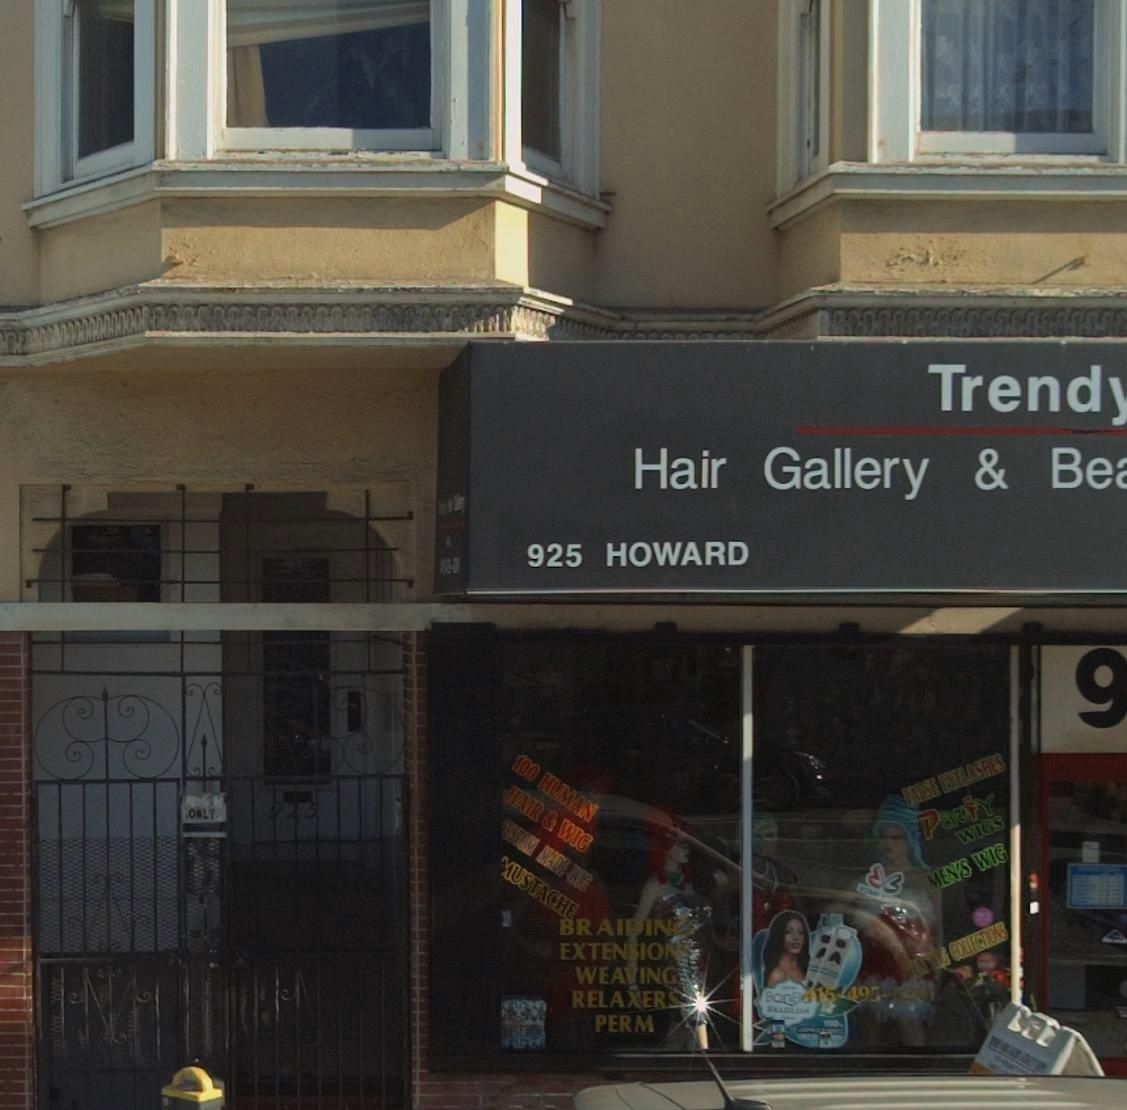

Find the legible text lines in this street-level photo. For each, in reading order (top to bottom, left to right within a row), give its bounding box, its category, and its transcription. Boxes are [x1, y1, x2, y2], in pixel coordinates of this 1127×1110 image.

[924, 361, 1103, 415] BusinessName: Trend
[631, 445, 1115, 502] BusinessName: Hair Gallery & Be
[524, 542, 584, 569] StreetNumber: 925
[603, 540, 752, 570] StreetName: HOWARD
[188, 807, 217, 821] None: ONLY
[267, 801, 321, 821] None: 925
[501, 783, 595, 856] None: HAIR & WIG
[510, 753, 600, 825] None: 100 HUMAN
[900, 751, 1008, 810] None: FALSE EYELASHES
[915, 793, 995, 841] None: Par*Y
[953, 814, 1007, 846] None: WIGS
[500, 820, 595, 894] None: USTOM MADE WIG
[923, 841, 1010, 894] None: MEN'S WIG
[507, 862, 579, 923] None: USTACHE
[559, 918, 673, 937] None: BRAIDIN
[559, 942, 681, 961] None: EXTENSION
[570, 989, 681, 1010] None: RELAXERS
[573, 965, 679, 986] None: WEAVING
[904, 921, 1011, 982] None: FUN WIG COLLECTIONS
[594, 1014, 656, 1034] None: PERM